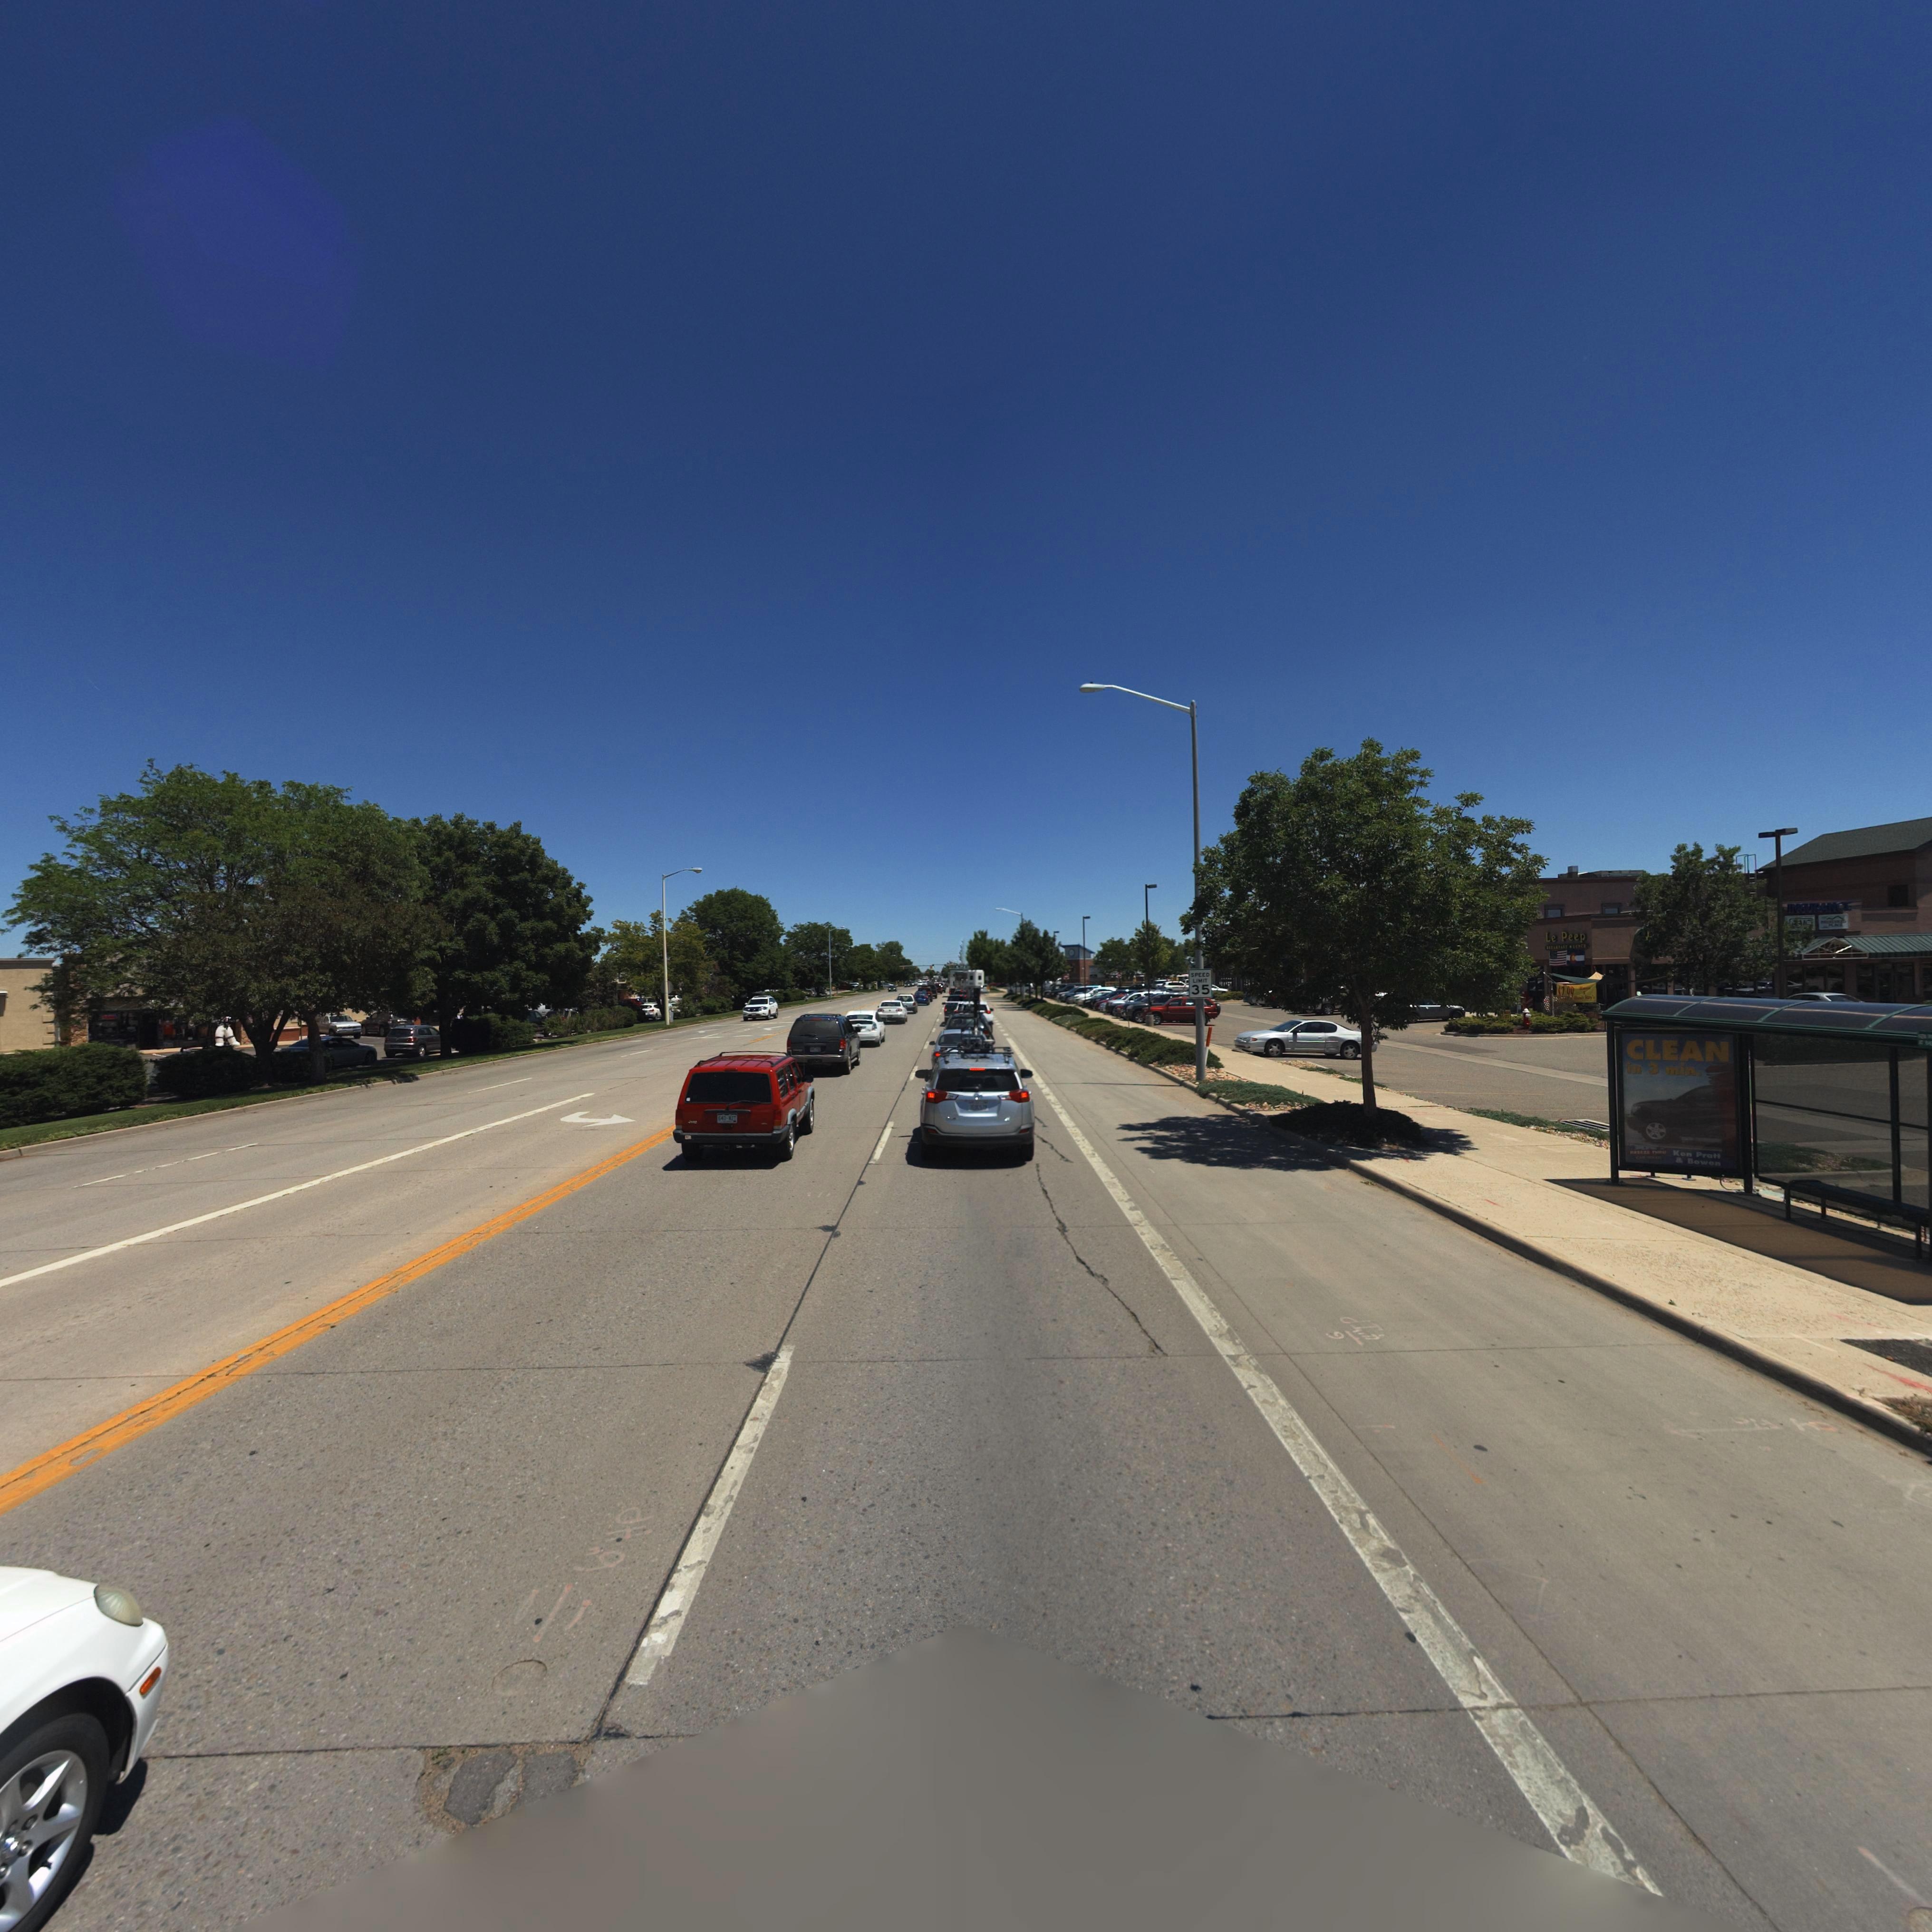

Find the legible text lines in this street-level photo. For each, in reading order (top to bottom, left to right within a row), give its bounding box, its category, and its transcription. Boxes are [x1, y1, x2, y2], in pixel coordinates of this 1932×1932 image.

[1545, 931, 1585, 942] BusinessName: Le Peep
[1629, 1150, 1666, 1154] BusinessName: BREEZE THRU